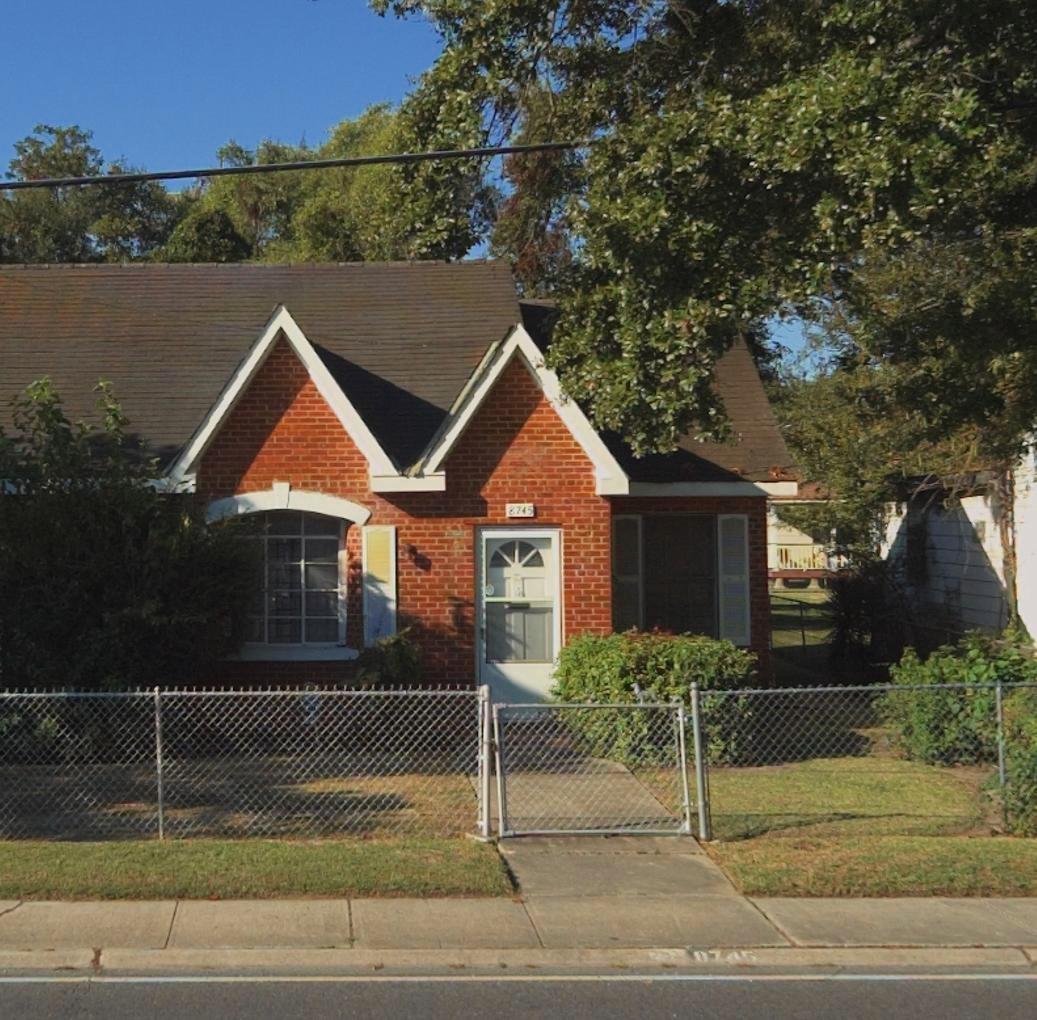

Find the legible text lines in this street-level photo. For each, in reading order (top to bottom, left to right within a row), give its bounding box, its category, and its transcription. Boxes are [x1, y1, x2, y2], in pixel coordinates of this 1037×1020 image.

[506, 504, 535, 517] StreetNumber: 8745